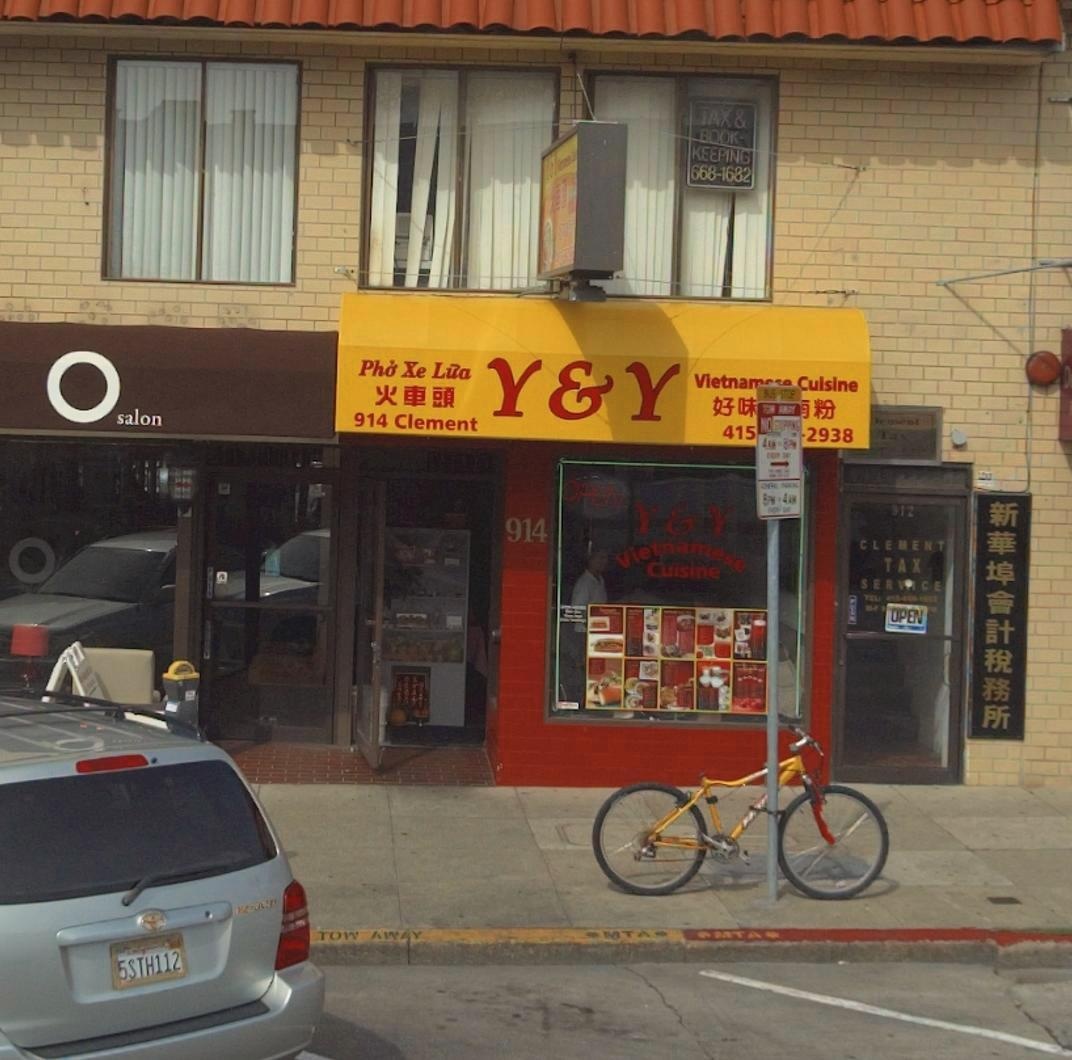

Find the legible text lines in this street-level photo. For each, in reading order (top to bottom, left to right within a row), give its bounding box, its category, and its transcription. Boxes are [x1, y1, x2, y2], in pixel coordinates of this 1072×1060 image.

[698, 105, 732, 129] None: TAX
[699, 128, 740, 146] None: BOOK
[691, 145, 752, 166] None: KEEPING
[689, 164, 752, 184] None: 668-1682
[357, 358, 472, 381] None: Ph* Xe L*a
[45, 349, 121, 423] BusinessName: o
[486, 356, 681, 423] BusinessName: Y&Y
[693, 372, 859, 393] None: Vietna**** Cuisine
[115, 407, 163, 427] BusinessName: salon
[352, 412, 389, 429] StreetNumber: 914
[394, 412, 478, 432] StreetName: Clement
[721, 424, 756, 441] None: 415
[760, 436, 776, 451] None: 4AM
[759, 416, 801, 433] None: NO STOPPING
[782, 437, 797, 451] None: 8PM
[806, 426, 854, 444] None: 2938
[877, 429, 909, 441] BusinessName: Ta*
[782, 492, 798, 506] None: 4AM
[631, 501, 737, 538] BusinessName: Y&Y
[890, 504, 915, 519] StreetNumber: 912
[504, 516, 547, 543] StreetNumber: 914
[859, 539, 946, 552] BusinessName: CLEMENT
[8, 537, 56, 584] BusinessName: o
[612, 540, 749, 574] BusinessName: Vietnamese
[645, 561, 720, 580] BusinessName: Cuisine
[883, 556, 922, 575] BusinessName: TAX
[860, 578, 941, 592] BusinessName: SERVICE
[891, 607, 925, 626] None: OPEN
[316, 929, 425, 942] None: TOW AW*Y
[602, 929, 654, 940] None: MTA
[713, 930, 765, 940] None: MTA
[116, 950, 182, 982] None: 5STH112